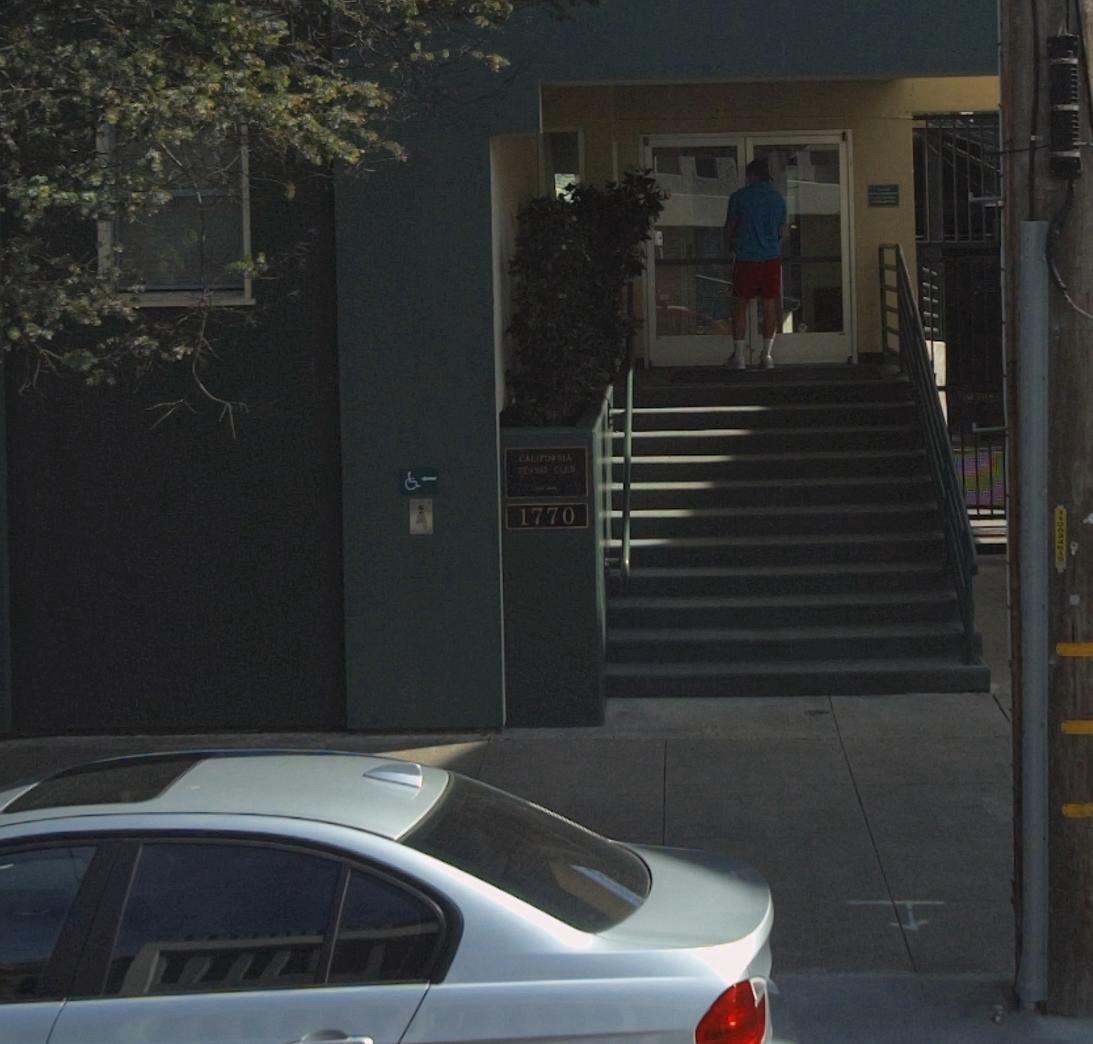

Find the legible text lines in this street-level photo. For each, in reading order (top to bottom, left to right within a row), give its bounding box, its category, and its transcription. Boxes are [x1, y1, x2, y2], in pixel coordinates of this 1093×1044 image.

[516, 451, 575, 465] BusinessName: CALIFORNIA
[518, 505, 577, 527] StreetNumber: 1770
[1054, 507, 1067, 566] None: 11*0*46**